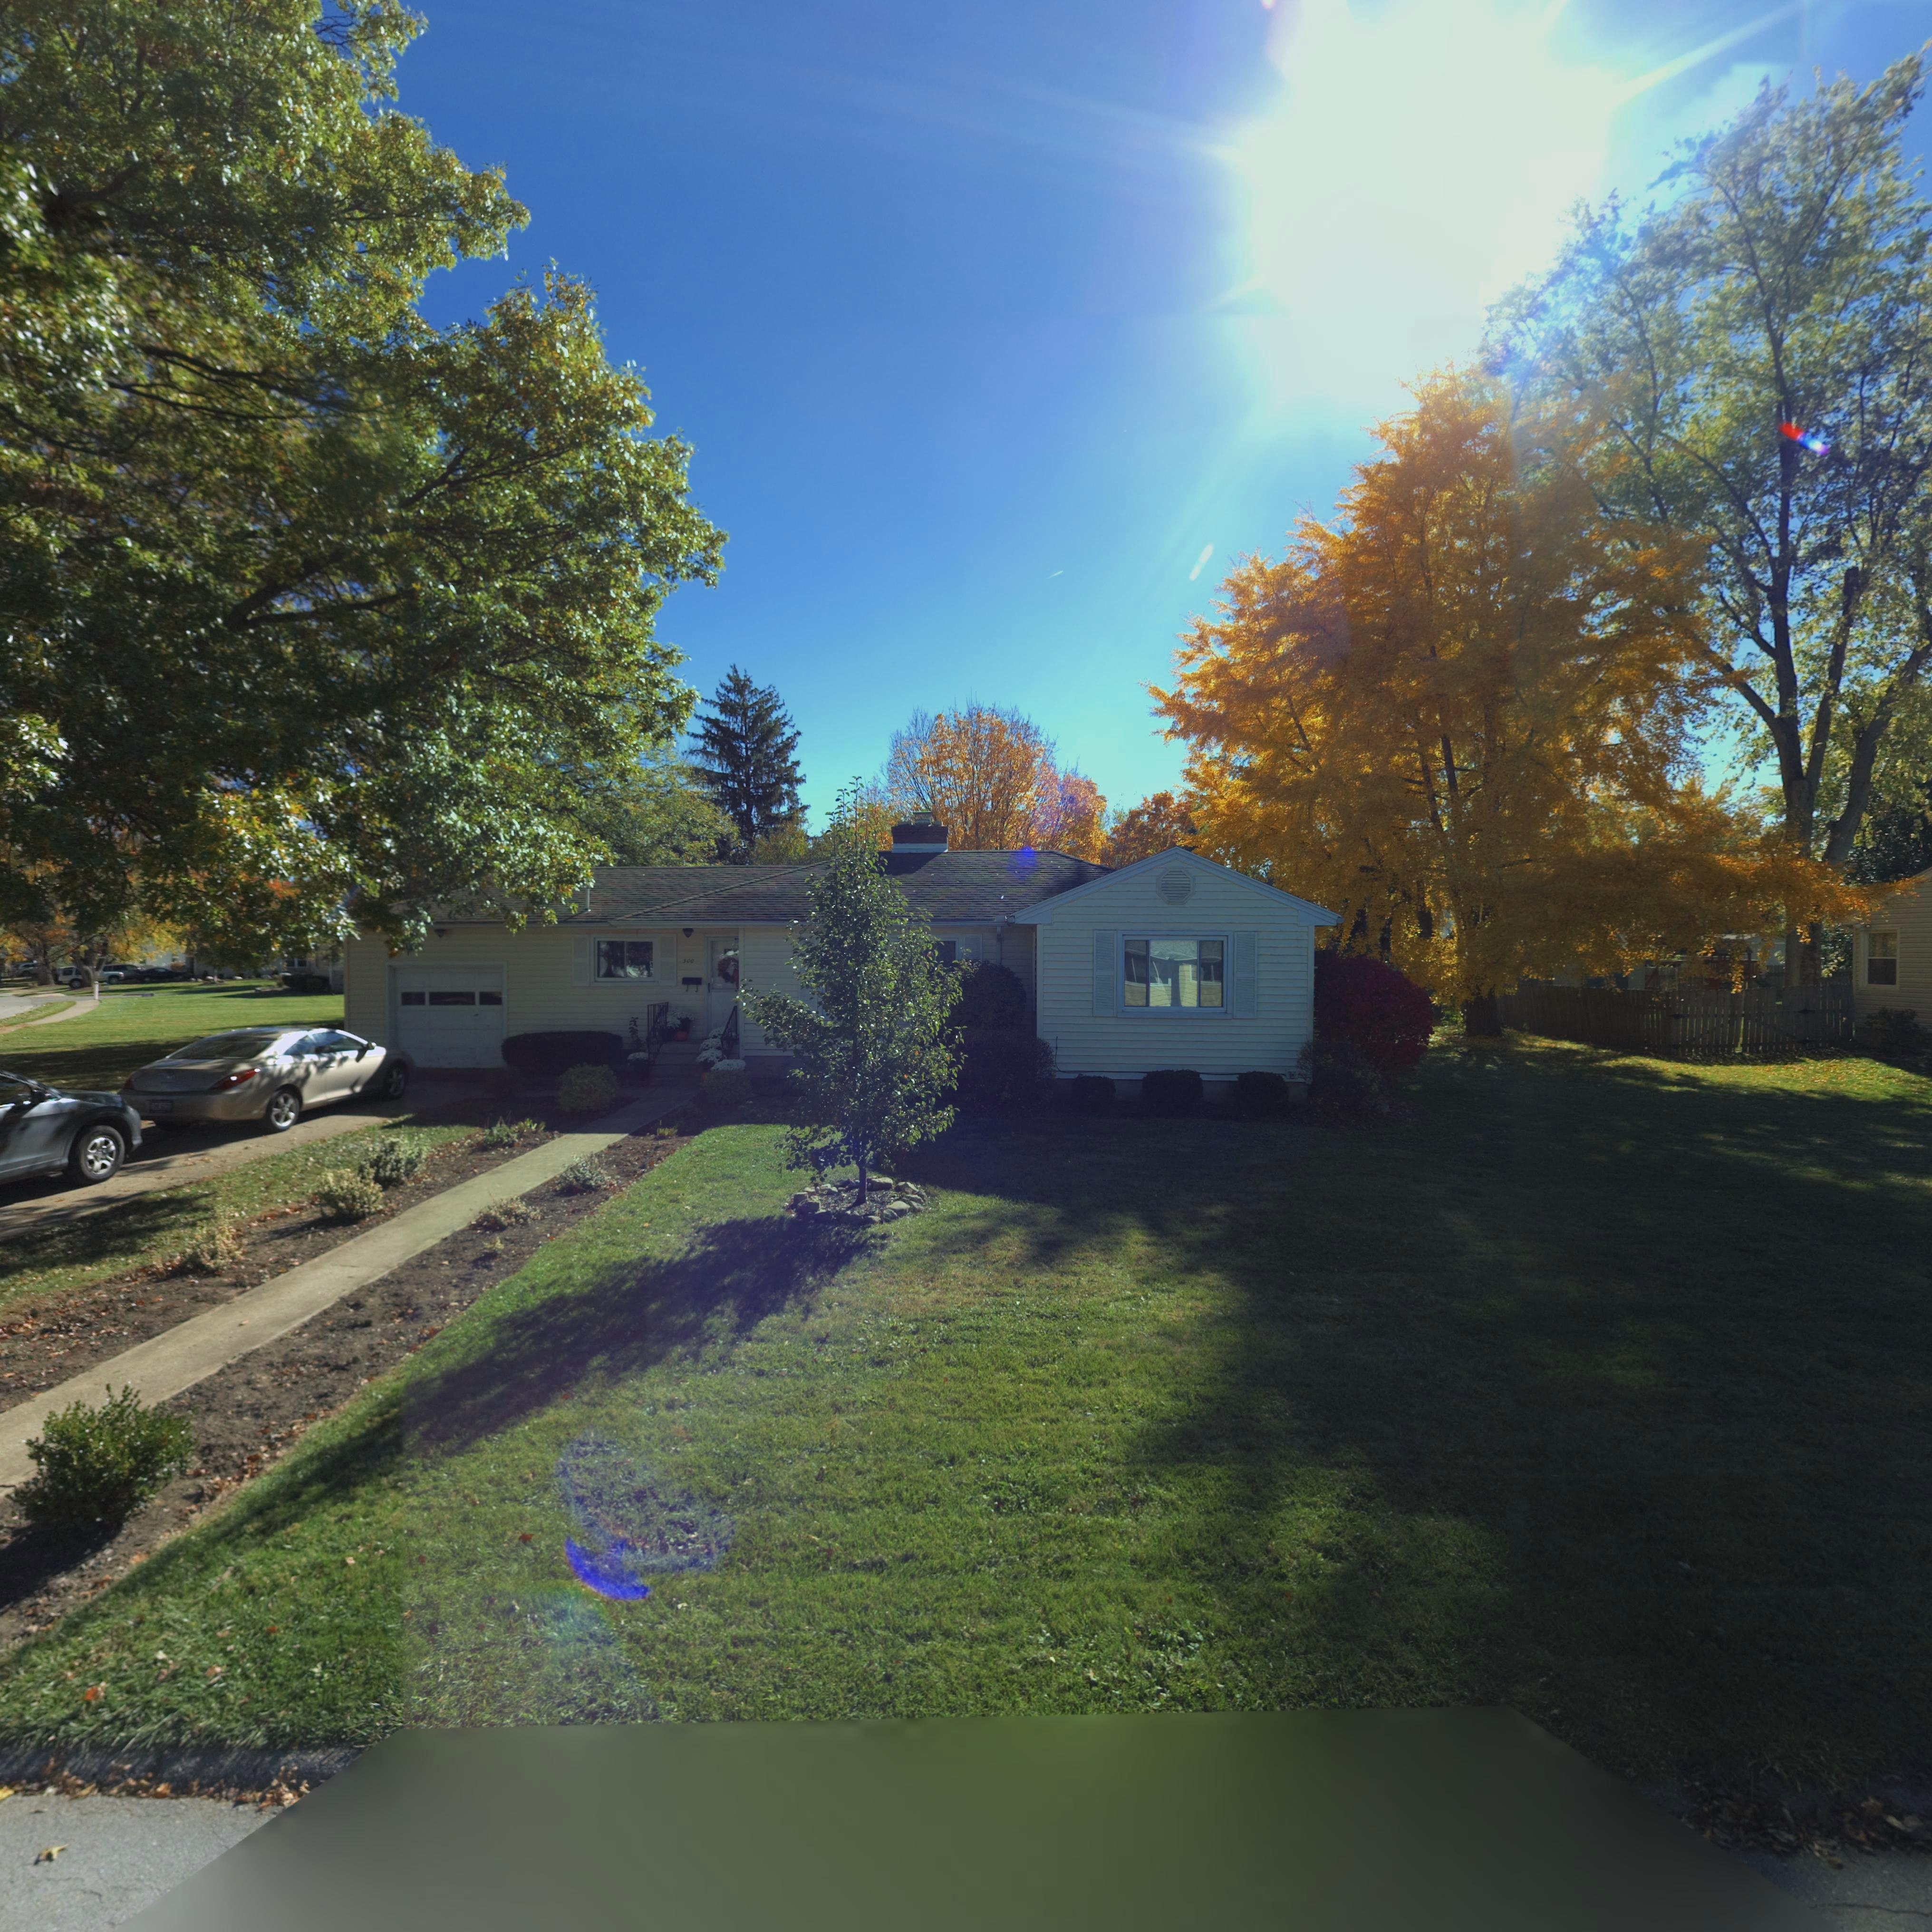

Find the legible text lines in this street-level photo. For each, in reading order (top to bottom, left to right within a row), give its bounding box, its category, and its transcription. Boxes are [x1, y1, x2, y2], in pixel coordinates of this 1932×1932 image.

[682, 958, 695, 964] StreetNumber: 300